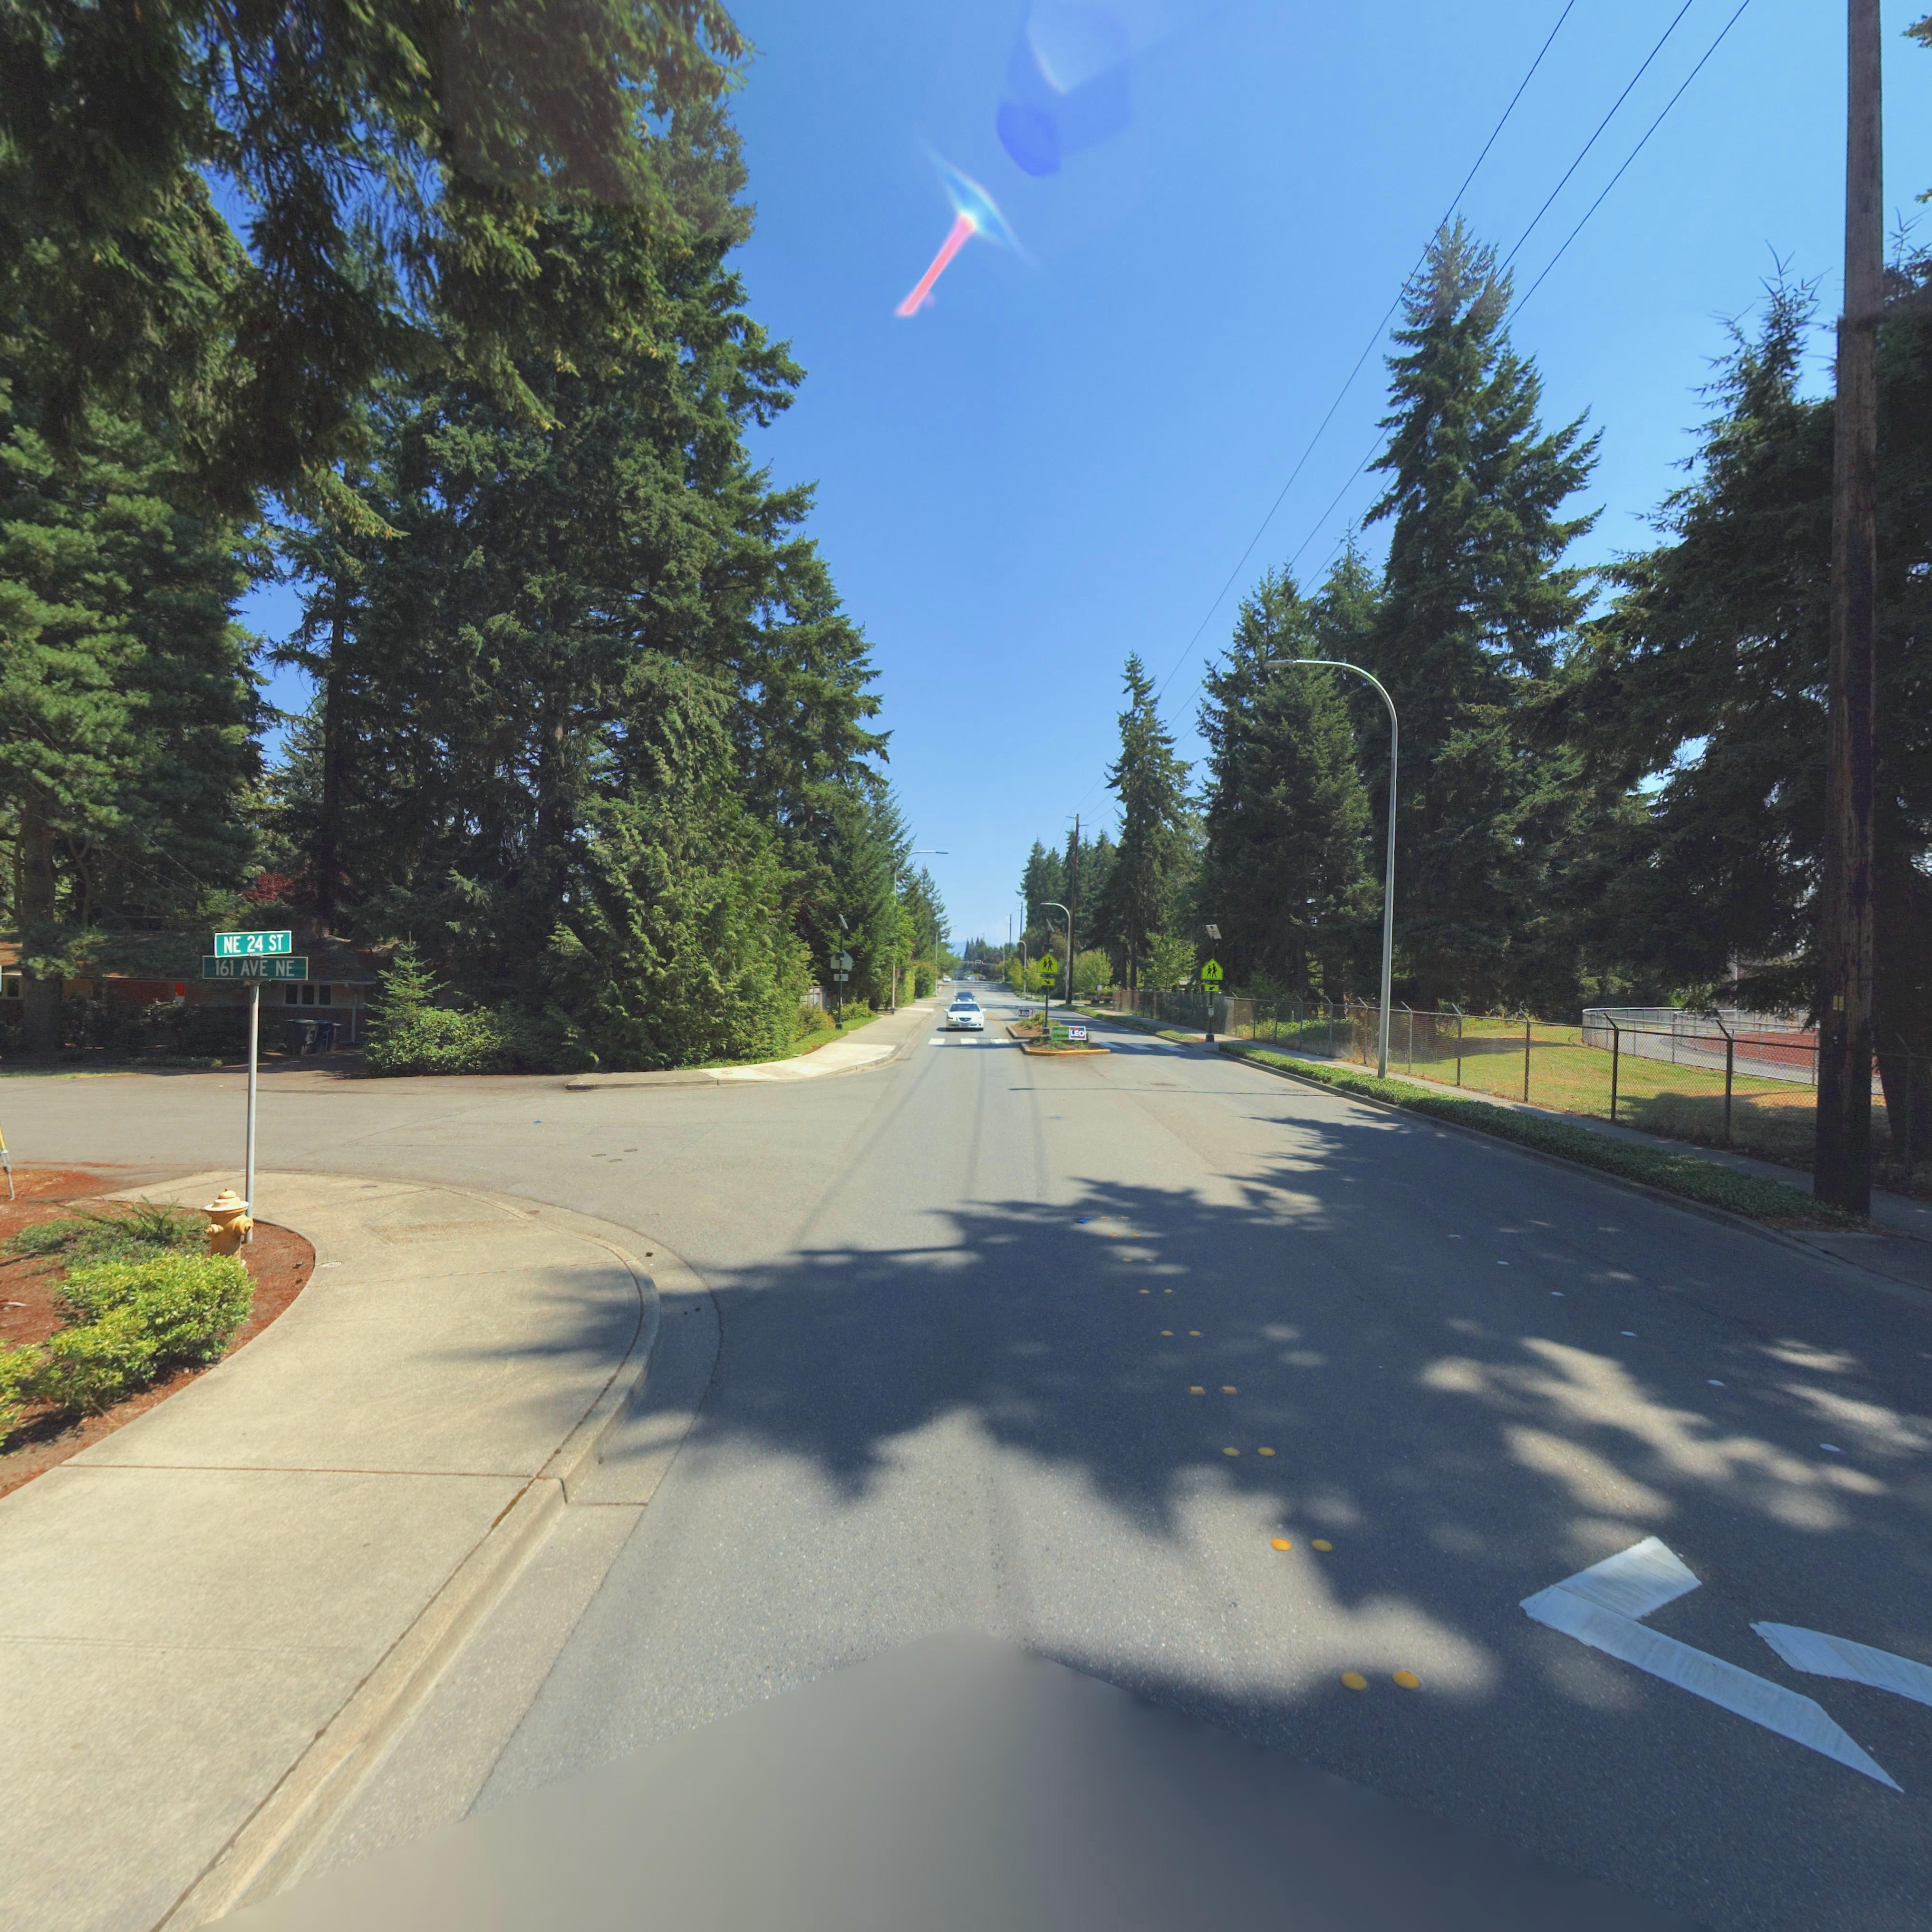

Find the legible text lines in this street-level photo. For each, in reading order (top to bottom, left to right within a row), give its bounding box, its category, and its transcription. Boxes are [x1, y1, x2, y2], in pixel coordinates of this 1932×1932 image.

[222, 934, 286, 953] StreetName: NE 24 ST
[213, 957, 296, 977] StreetName: 161 AVE NE